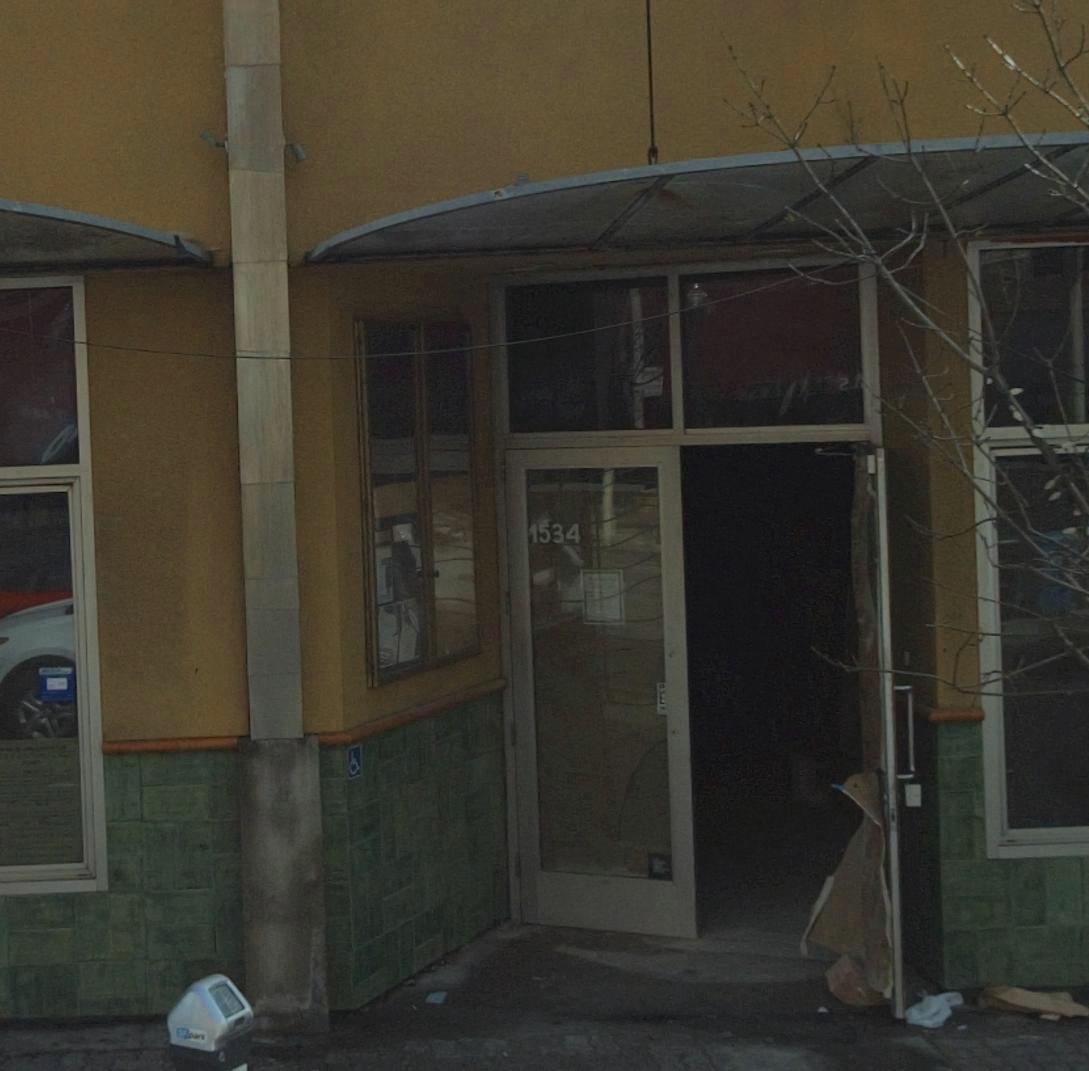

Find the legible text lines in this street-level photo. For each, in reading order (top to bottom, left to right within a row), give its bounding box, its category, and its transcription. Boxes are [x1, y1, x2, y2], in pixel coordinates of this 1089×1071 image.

[527, 520, 583, 548] StreetNumber: 1534